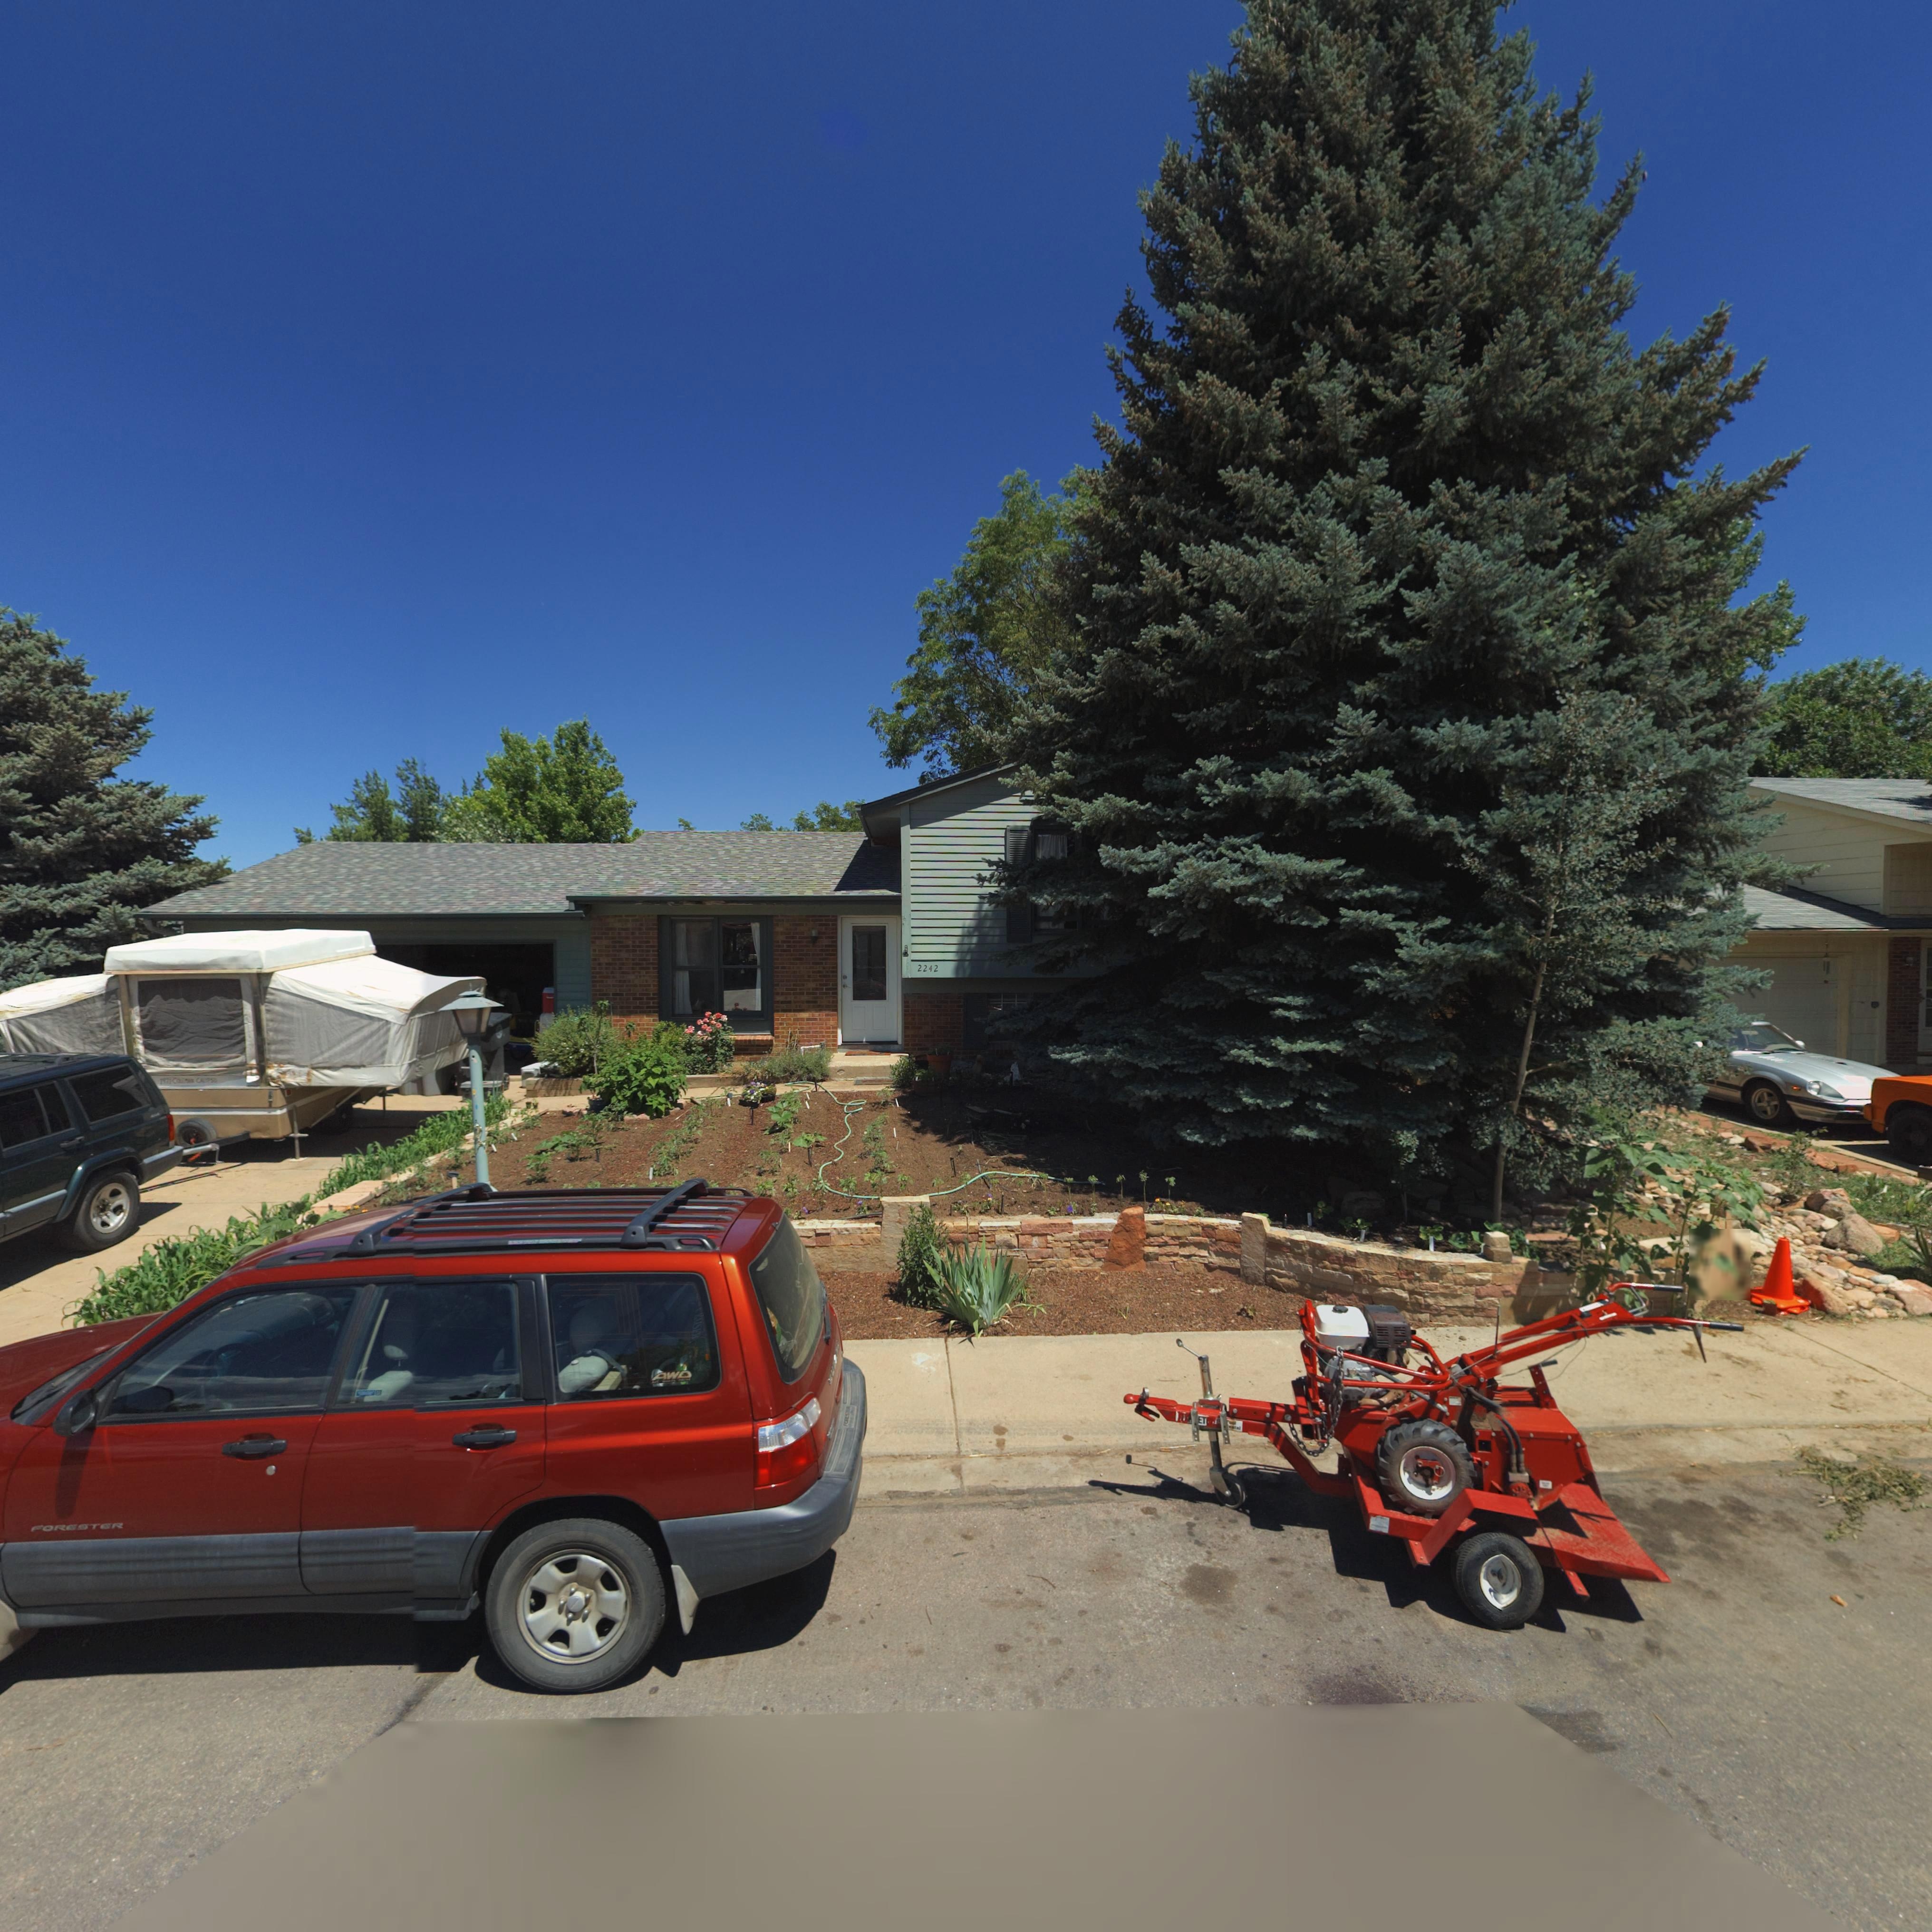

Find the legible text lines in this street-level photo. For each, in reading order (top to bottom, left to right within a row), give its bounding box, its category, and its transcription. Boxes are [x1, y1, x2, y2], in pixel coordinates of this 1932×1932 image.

[917, 964, 939, 972] StreetNumber: 2242